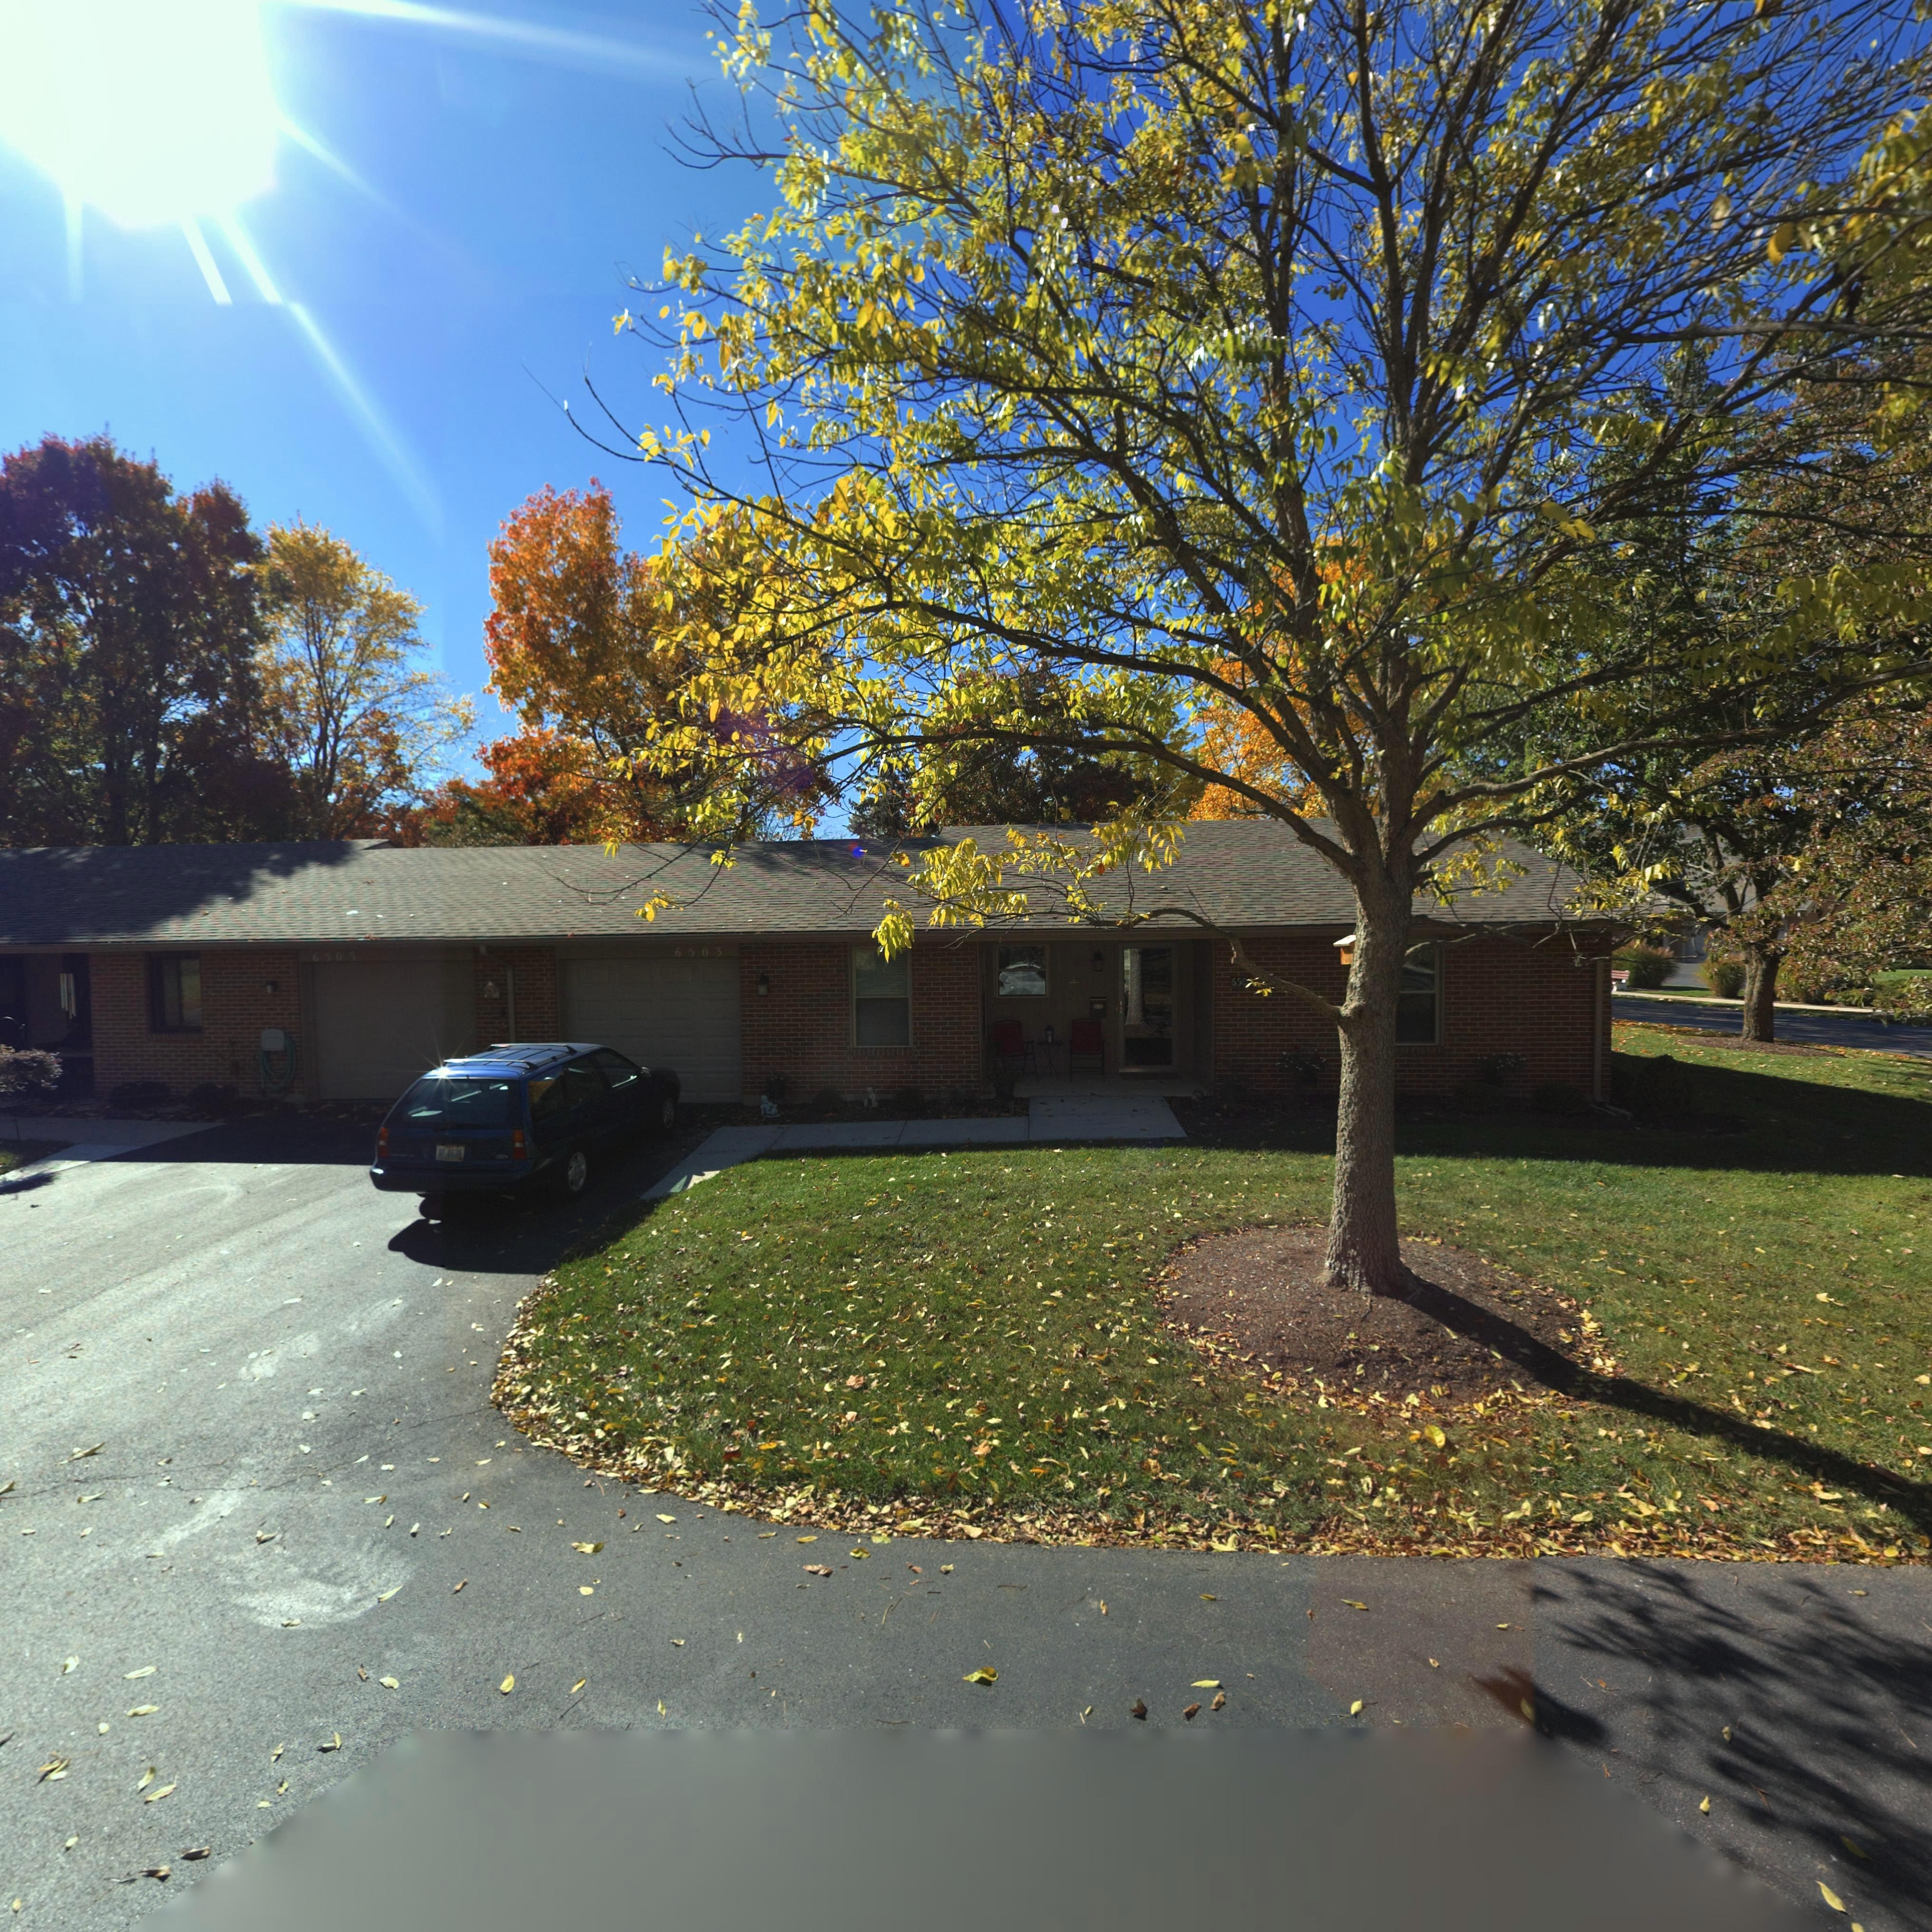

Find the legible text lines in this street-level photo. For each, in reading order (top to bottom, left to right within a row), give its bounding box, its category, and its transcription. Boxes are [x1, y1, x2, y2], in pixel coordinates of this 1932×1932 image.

[311, 950, 357, 963] StreetNumber: 6505
[673, 946, 723, 959] StreetNumber: 6503
[1229, 977, 1249, 987] StreetNumber: 650